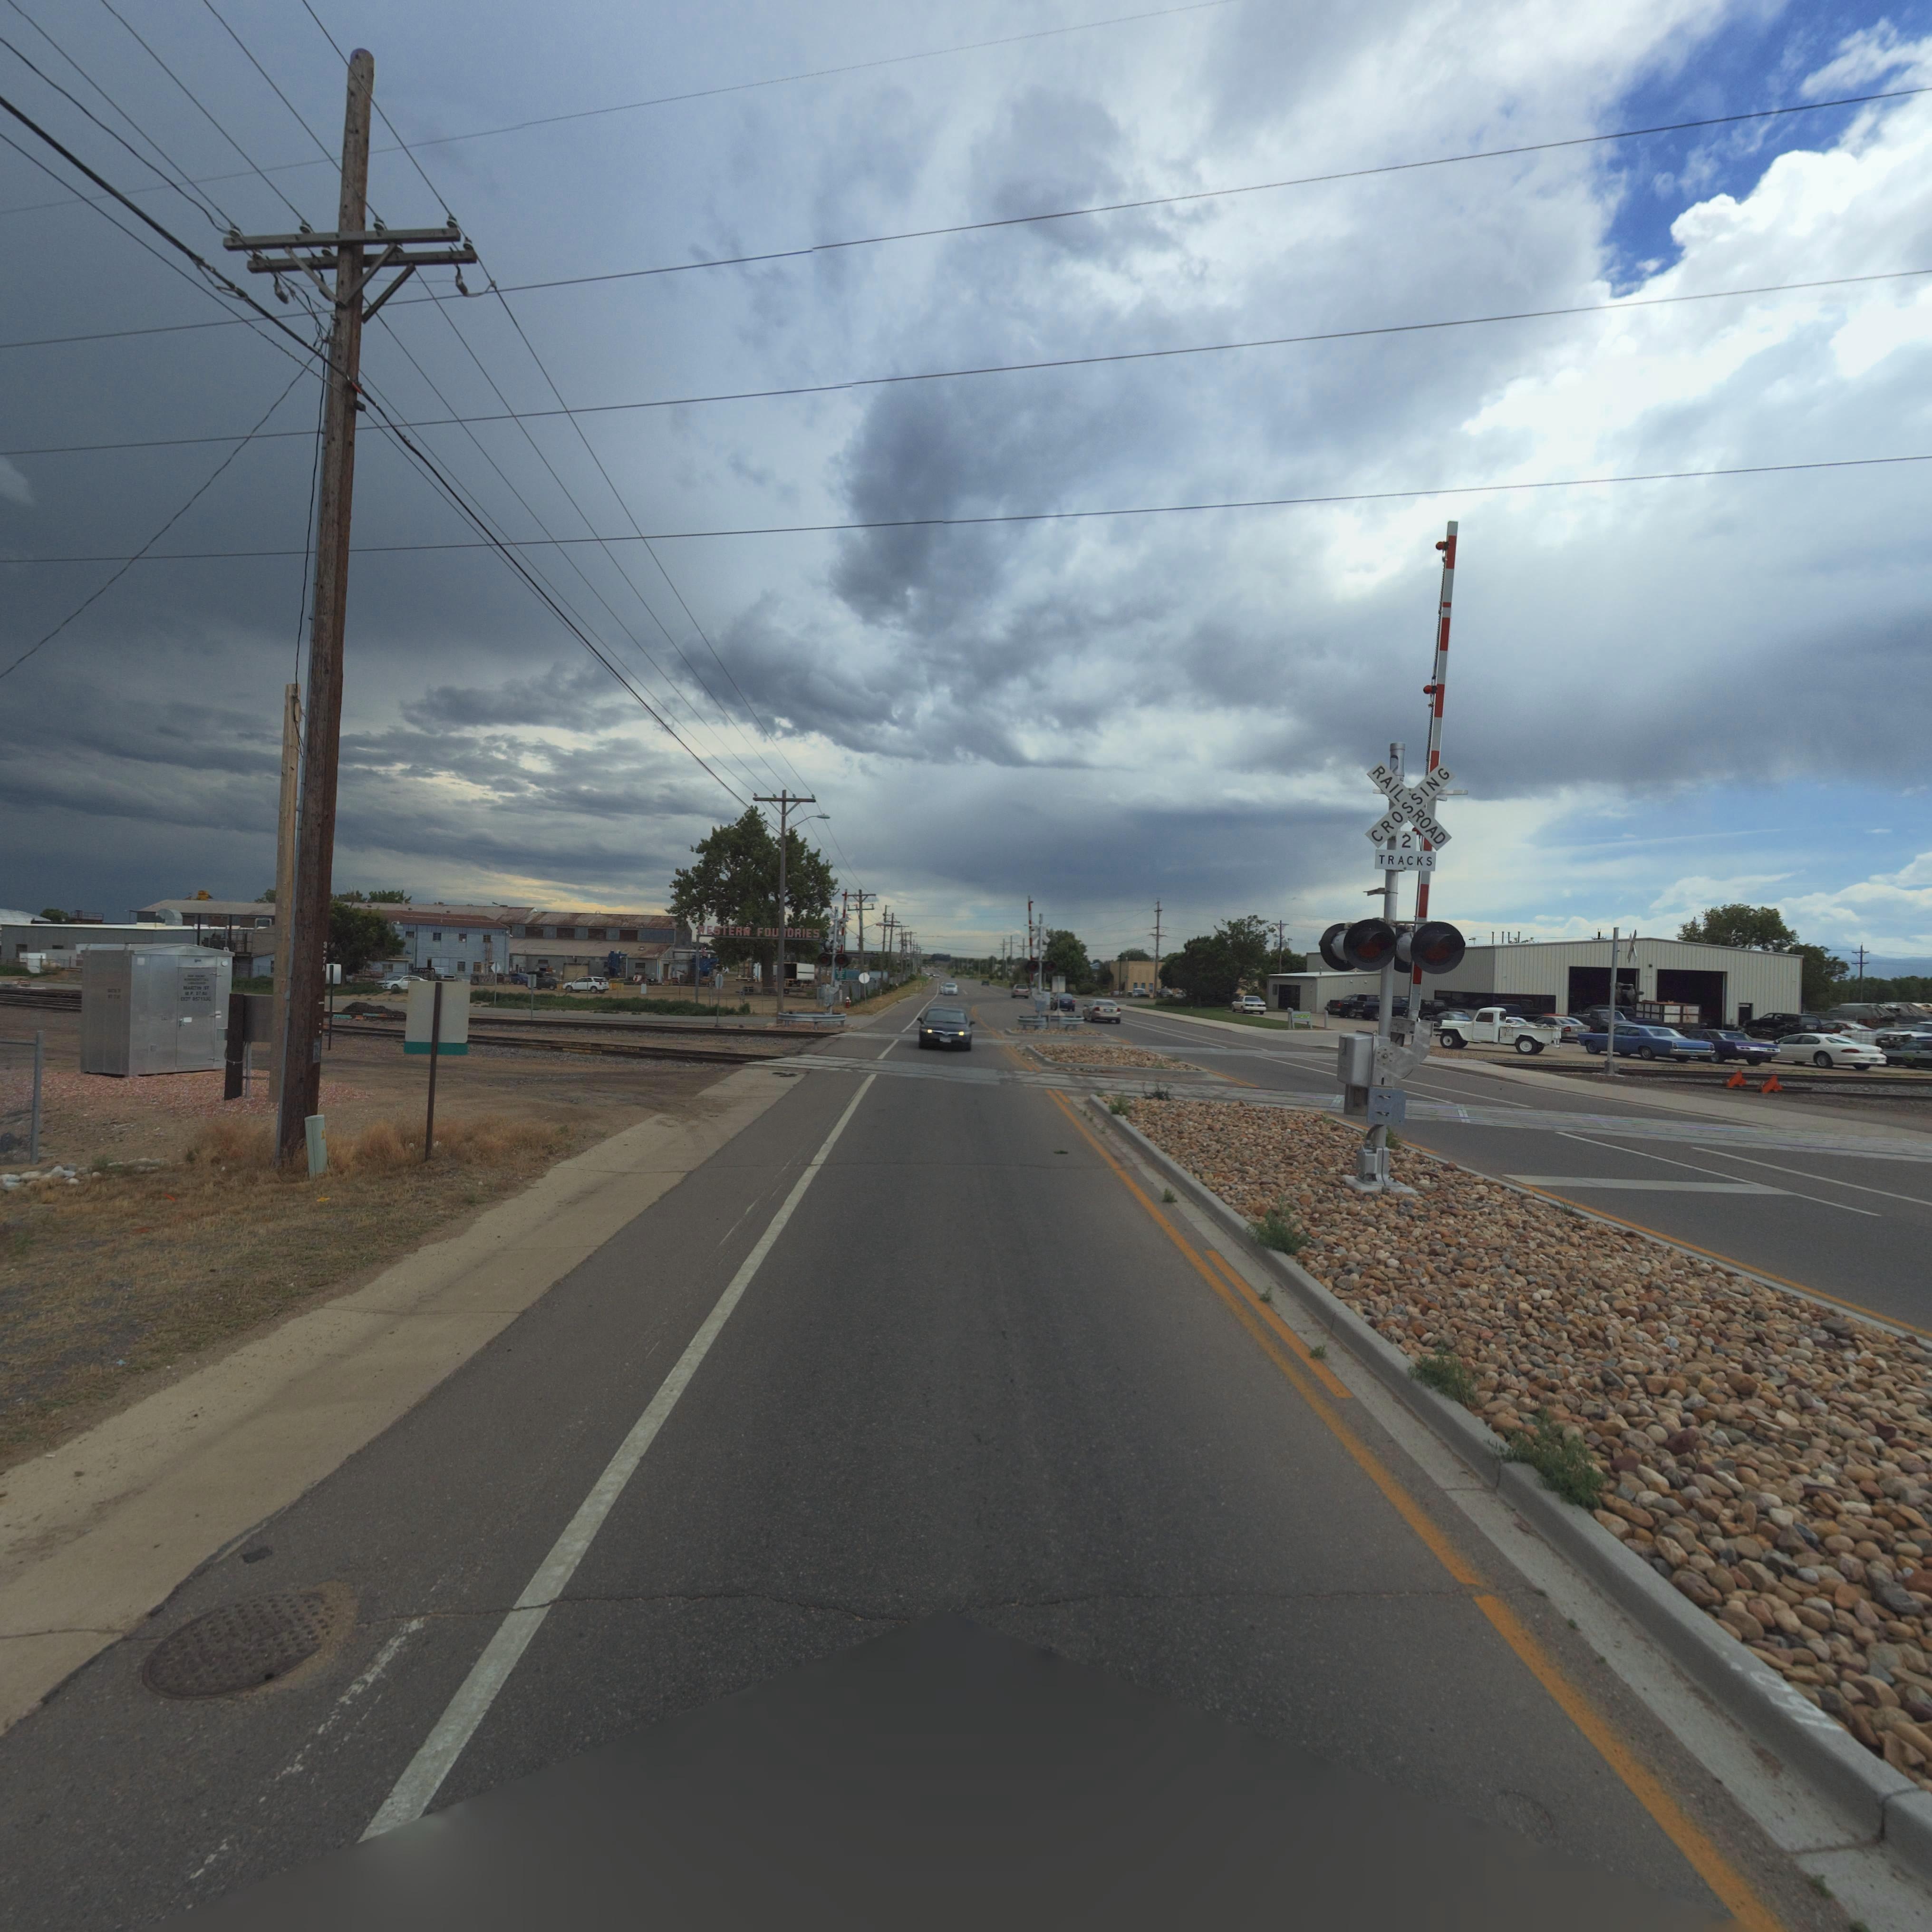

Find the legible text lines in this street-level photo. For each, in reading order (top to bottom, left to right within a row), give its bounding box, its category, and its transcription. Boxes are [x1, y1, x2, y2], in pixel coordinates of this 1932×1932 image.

[697, 925, 820, 938] BusinessName: WESTERN FOU*DRIES
[183, 985, 210, 990] StreetName: ****** ST